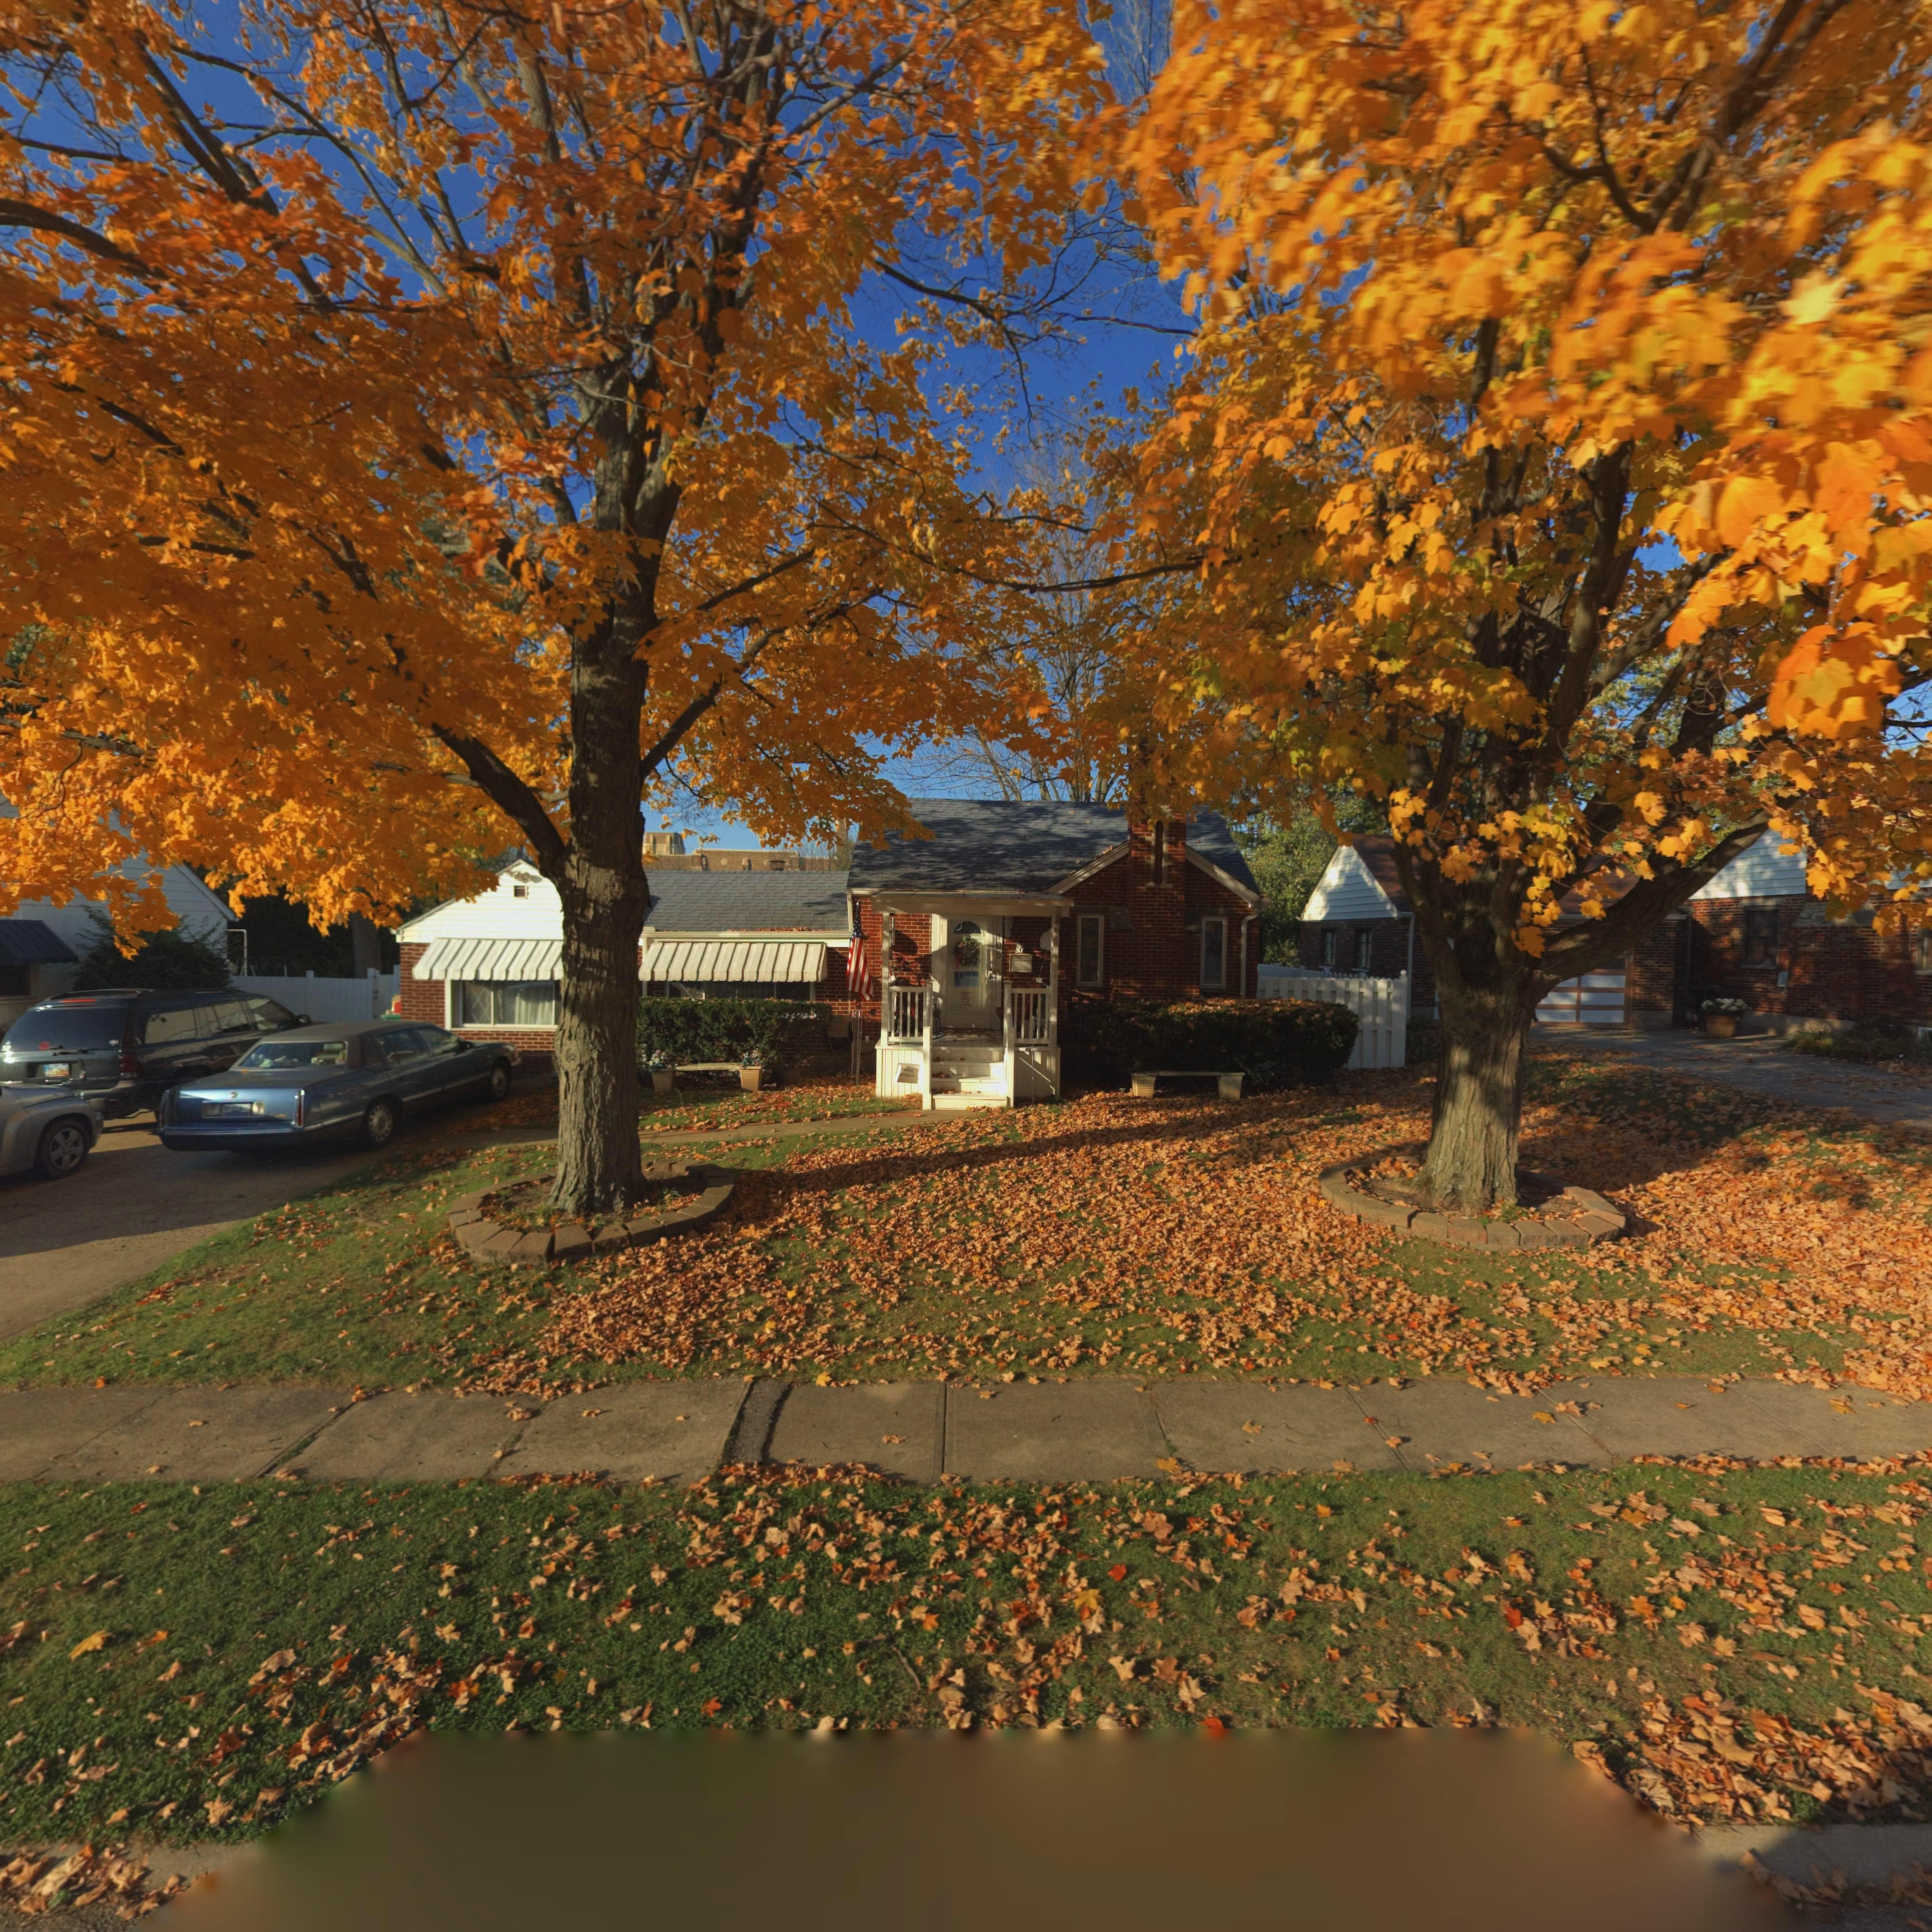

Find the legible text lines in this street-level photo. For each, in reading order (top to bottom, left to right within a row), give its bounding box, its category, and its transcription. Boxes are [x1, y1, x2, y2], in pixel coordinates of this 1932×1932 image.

[995, 932, 1002, 958] StreetNumber: 105